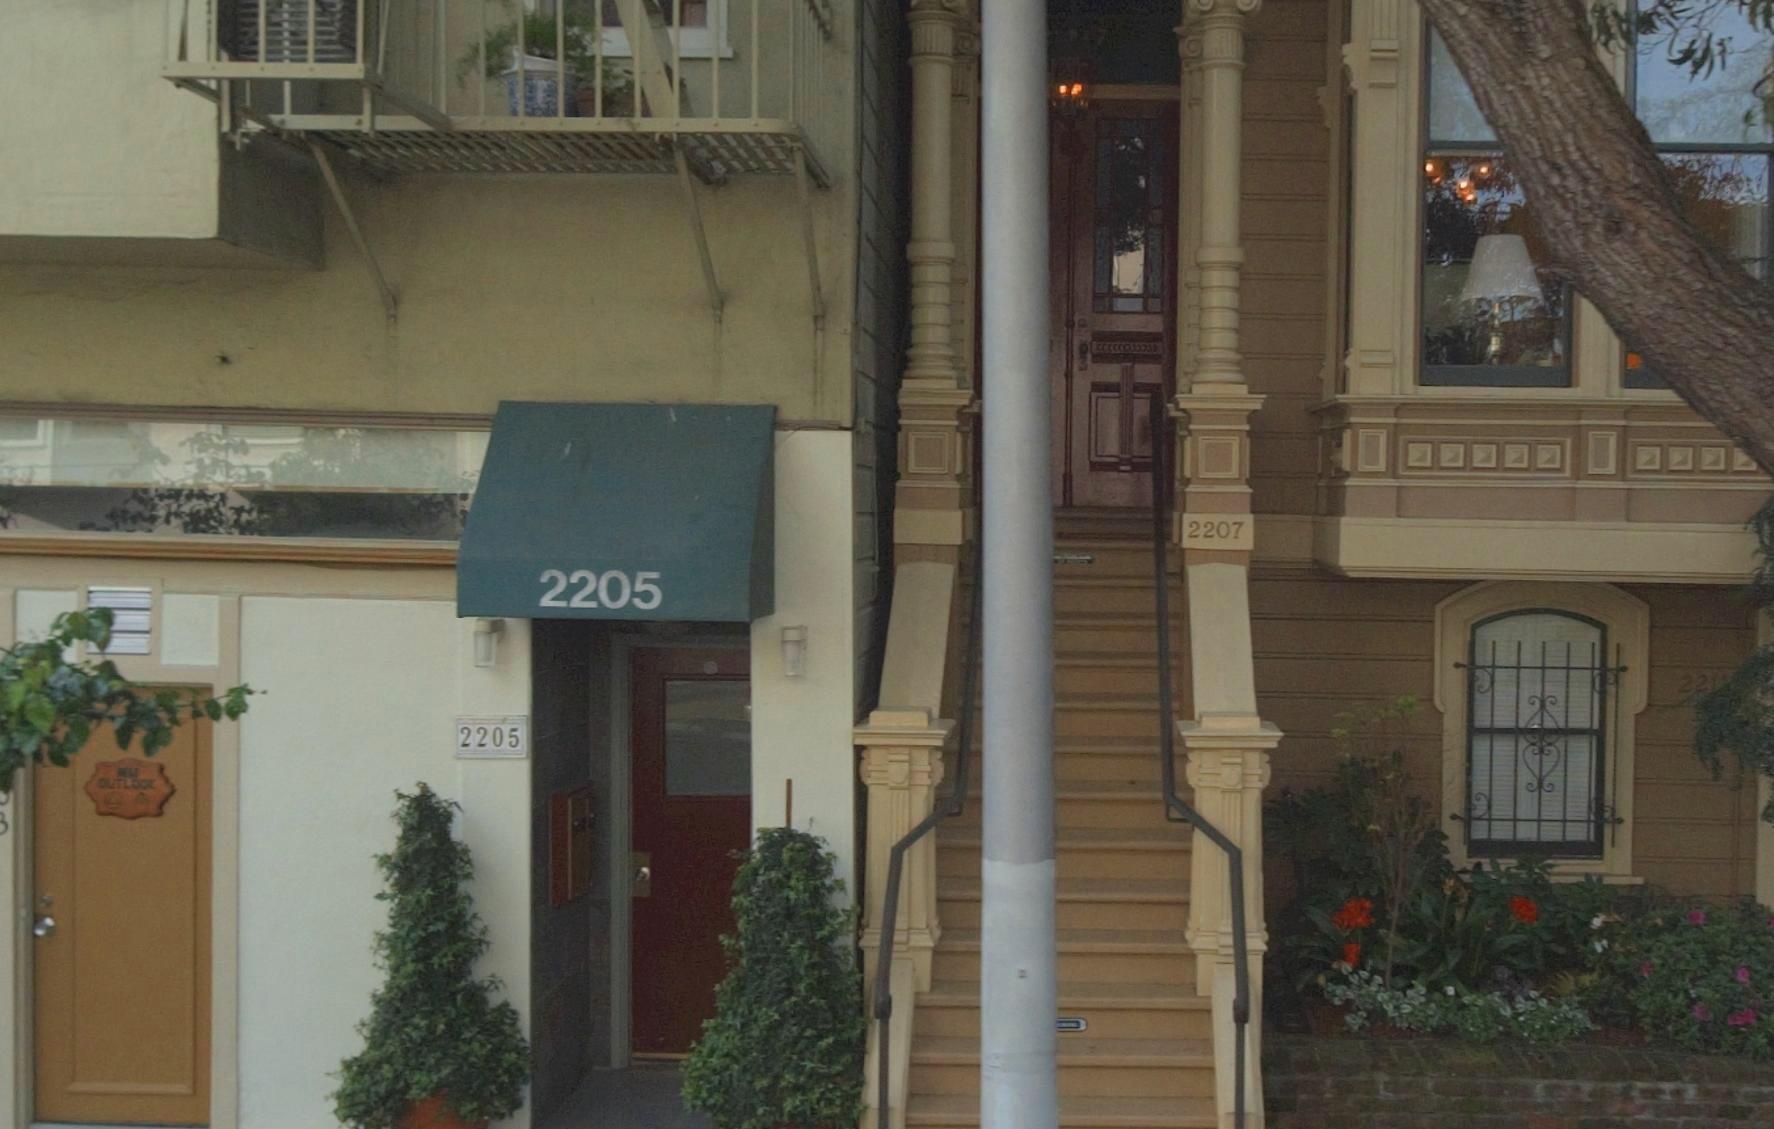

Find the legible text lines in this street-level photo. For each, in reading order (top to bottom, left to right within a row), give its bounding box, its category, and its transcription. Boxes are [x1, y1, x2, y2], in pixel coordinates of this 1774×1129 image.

[1186, 518, 1246, 541] StreetNumber: 2207
[535, 566, 665, 612] StreetNumber: 2205
[458, 724, 522, 750] StreetNumber: 2205
[94, 775, 159, 792] None: OUTLOOK